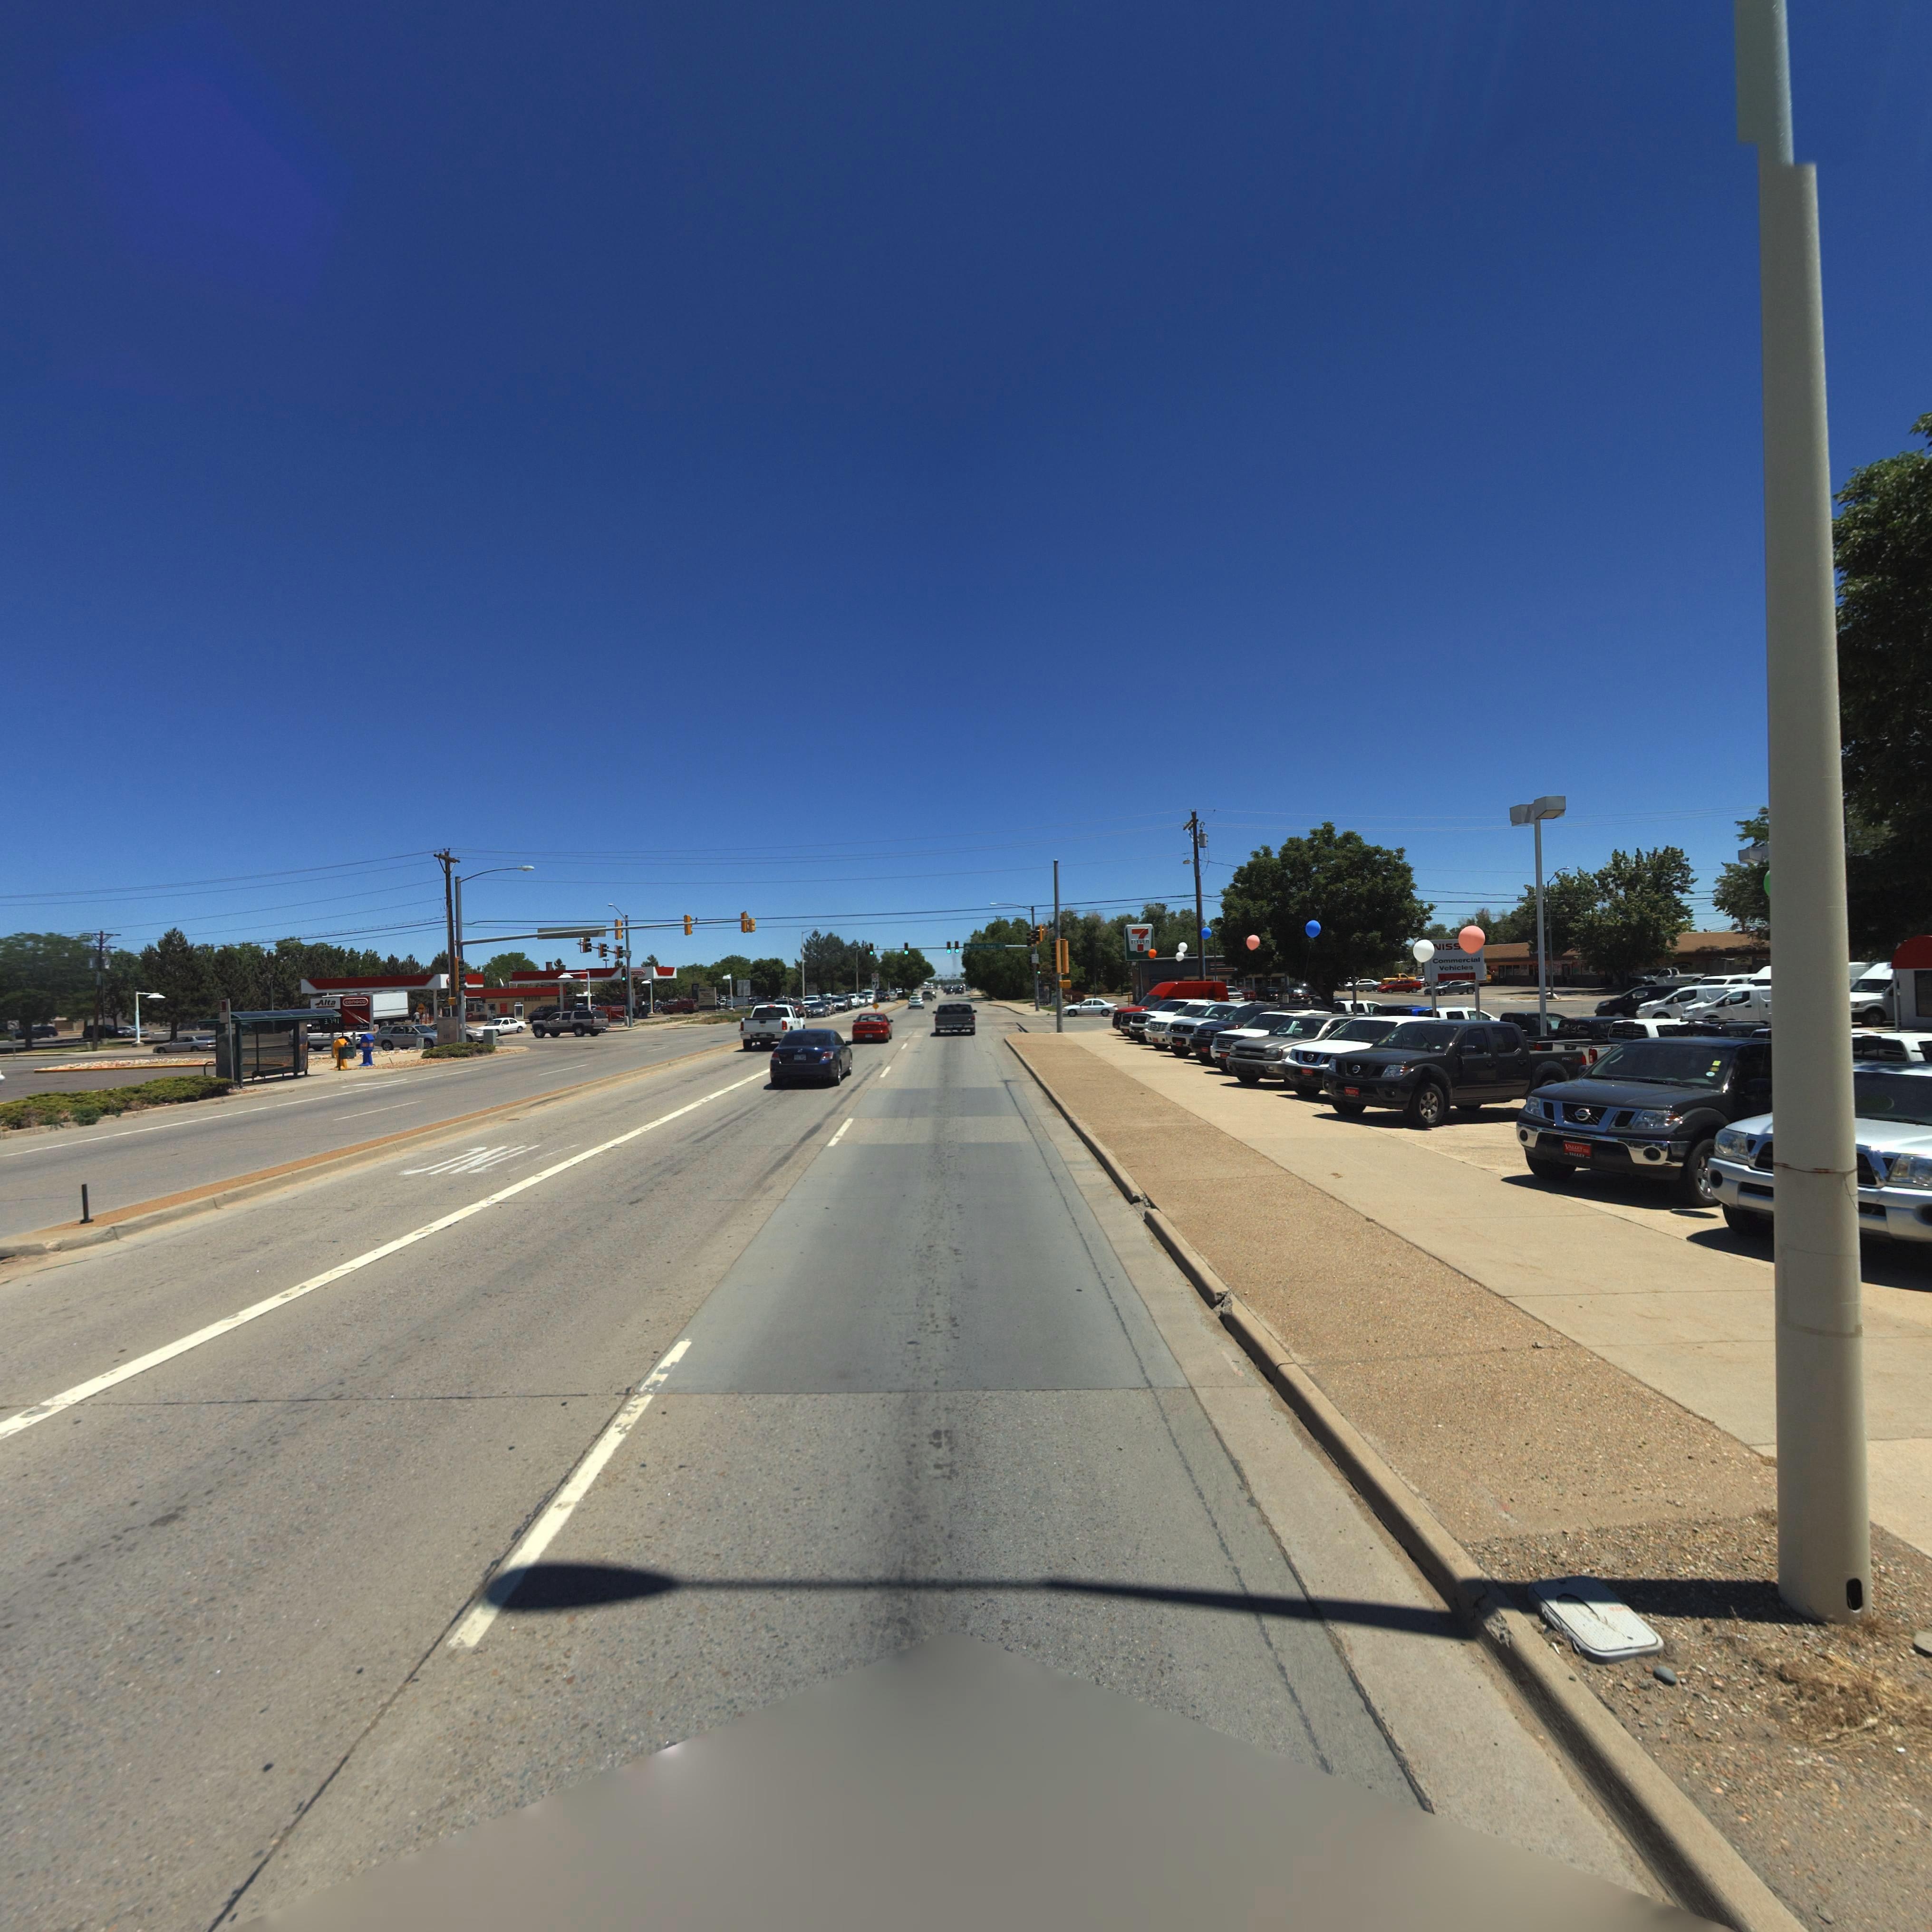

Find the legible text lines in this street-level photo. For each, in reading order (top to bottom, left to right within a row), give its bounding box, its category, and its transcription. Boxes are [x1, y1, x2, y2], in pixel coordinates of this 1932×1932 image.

[1130, 927, 1149, 952] StreetNumber: 7
[1131, 939, 1149, 944] BusinessName: ELEVEN
[974, 944, 996, 949] StreetName: P**** P***
[1432, 943, 1460, 950] BusinessName: NISS
[1432, 956, 1480, 964] BusinessName: Commercial
[1438, 964, 1474, 971] BusinessName: Vehicles
[632, 971, 643, 975] StreetNumber: n**o
[317, 998, 337, 1006] BusinessName: Alta
[345, 999, 366, 1004] BusinessName: conoco